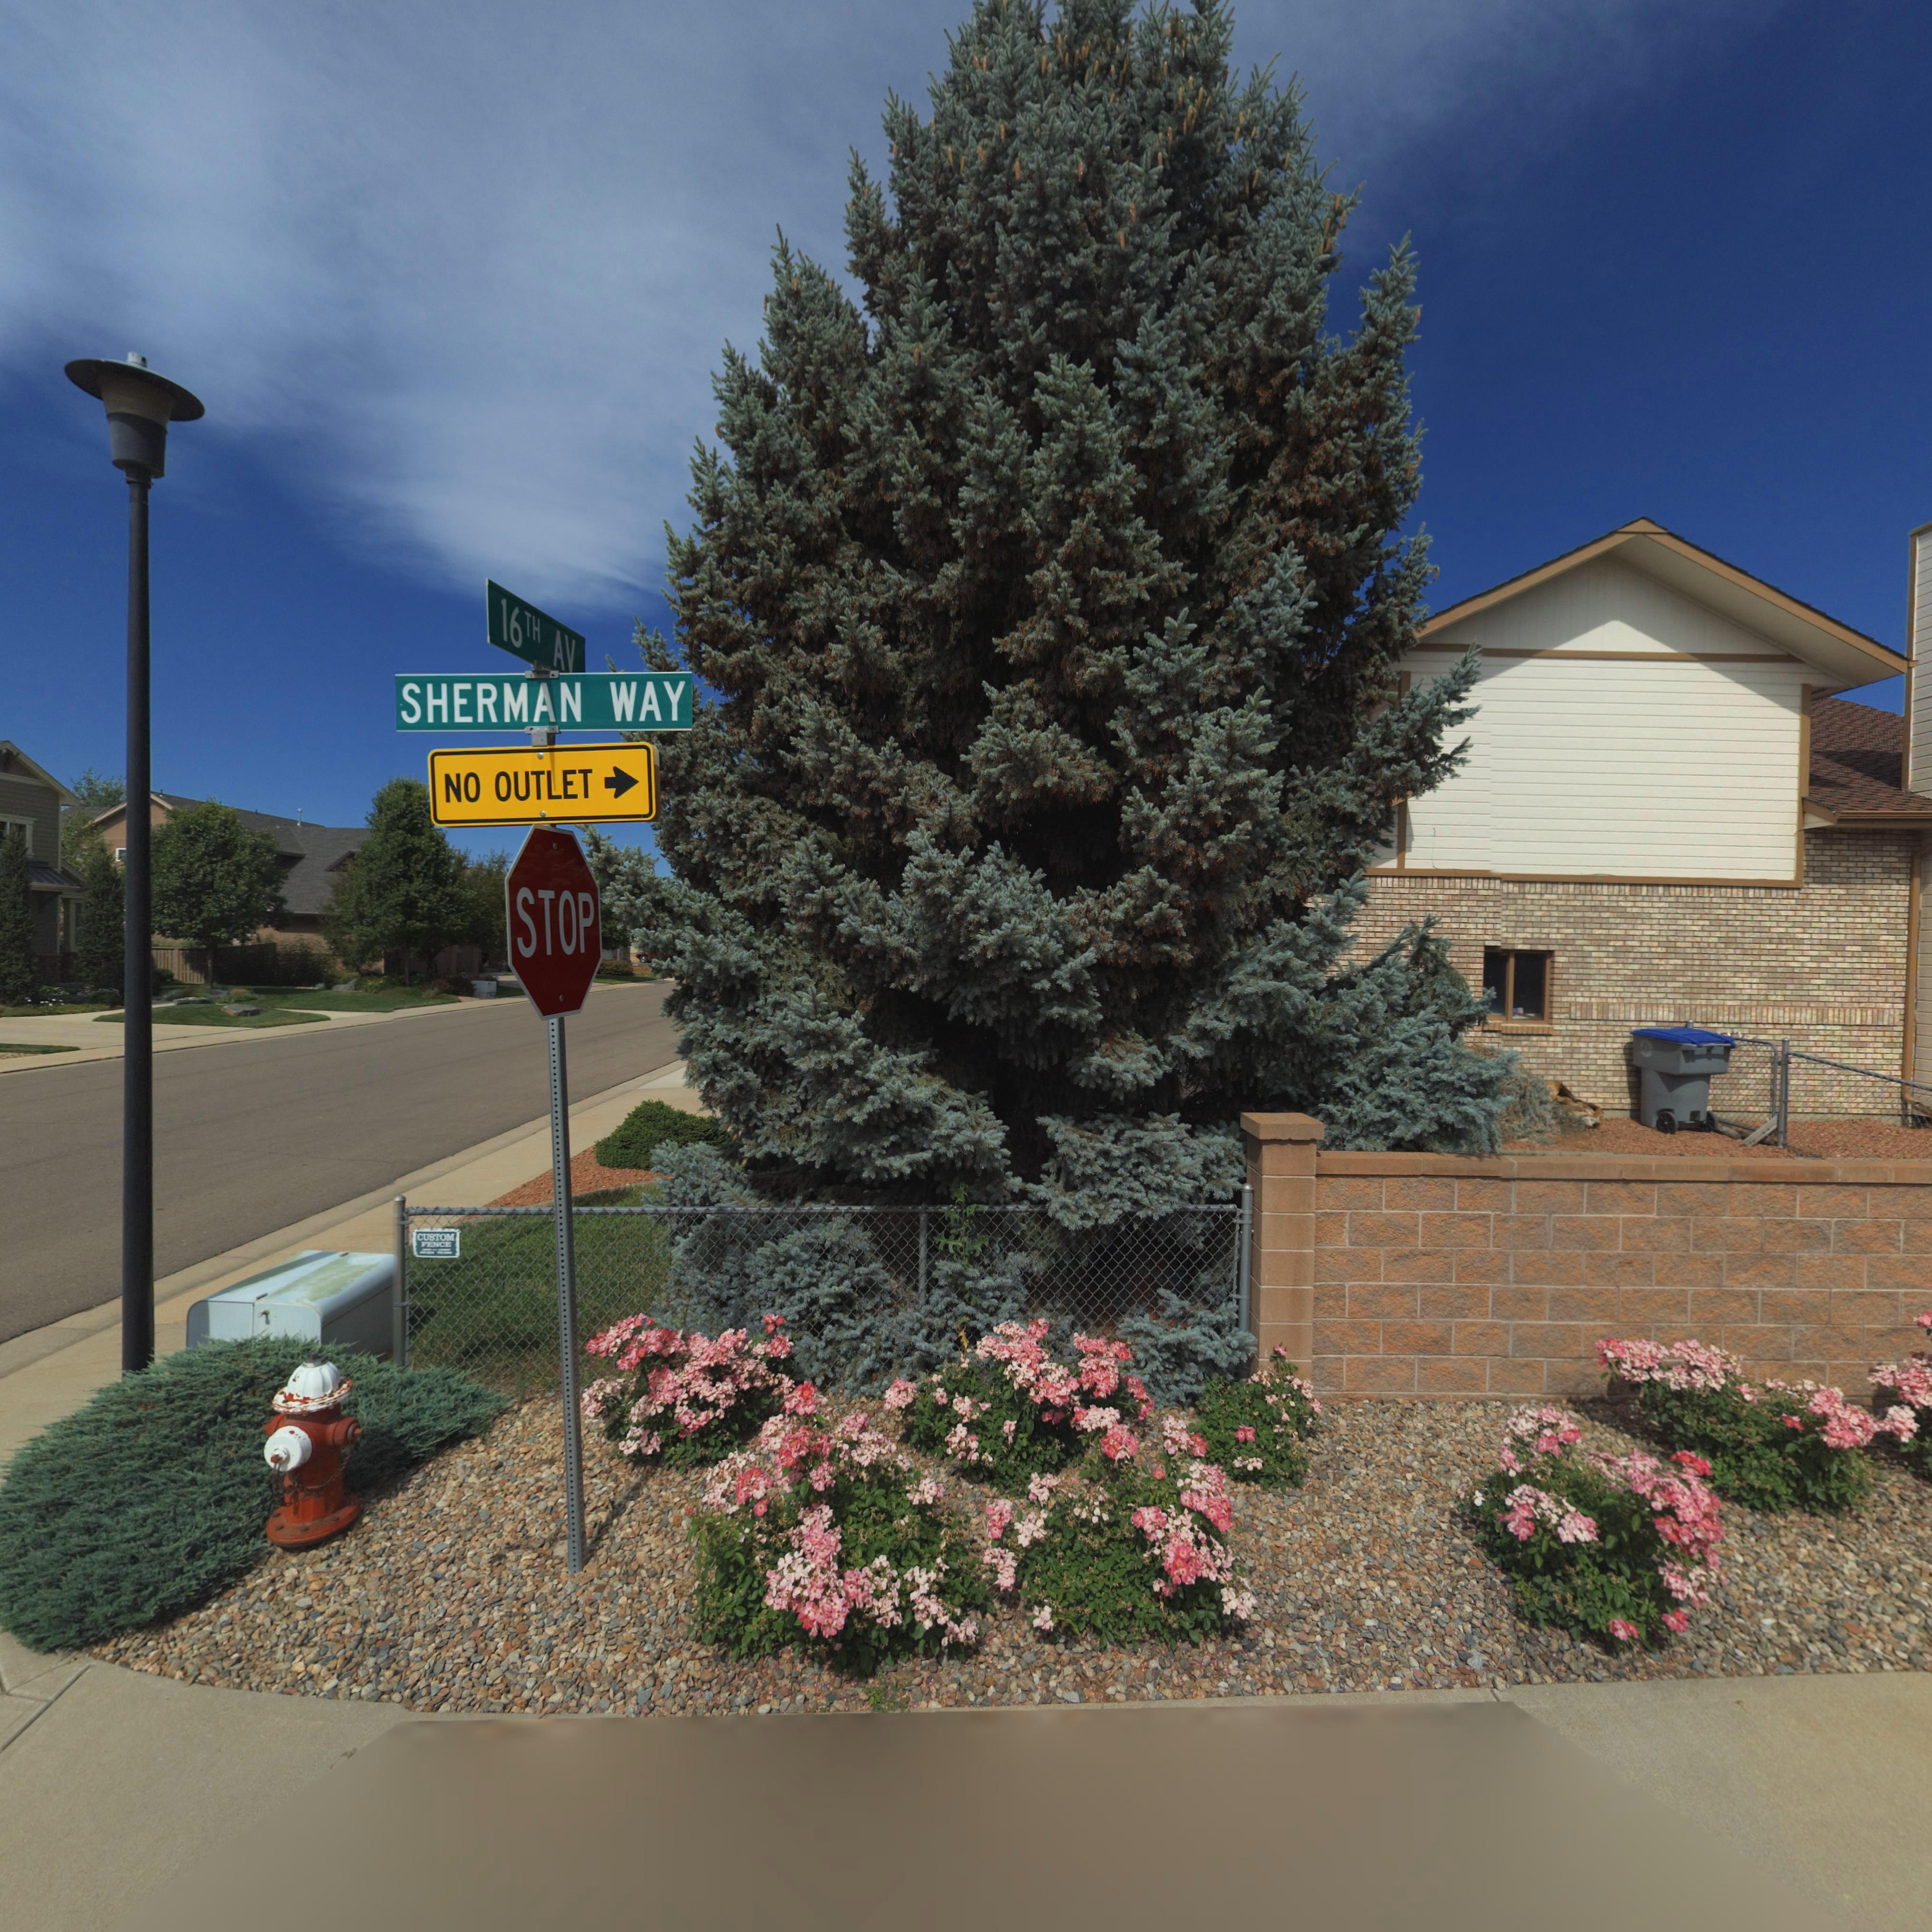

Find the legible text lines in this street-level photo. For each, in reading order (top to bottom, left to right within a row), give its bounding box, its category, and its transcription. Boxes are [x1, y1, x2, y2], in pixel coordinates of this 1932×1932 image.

[500, 598, 576, 673] StreetName: 16TH AV
[400, 680, 686, 724] StreetNumber: SHERMAN WAY